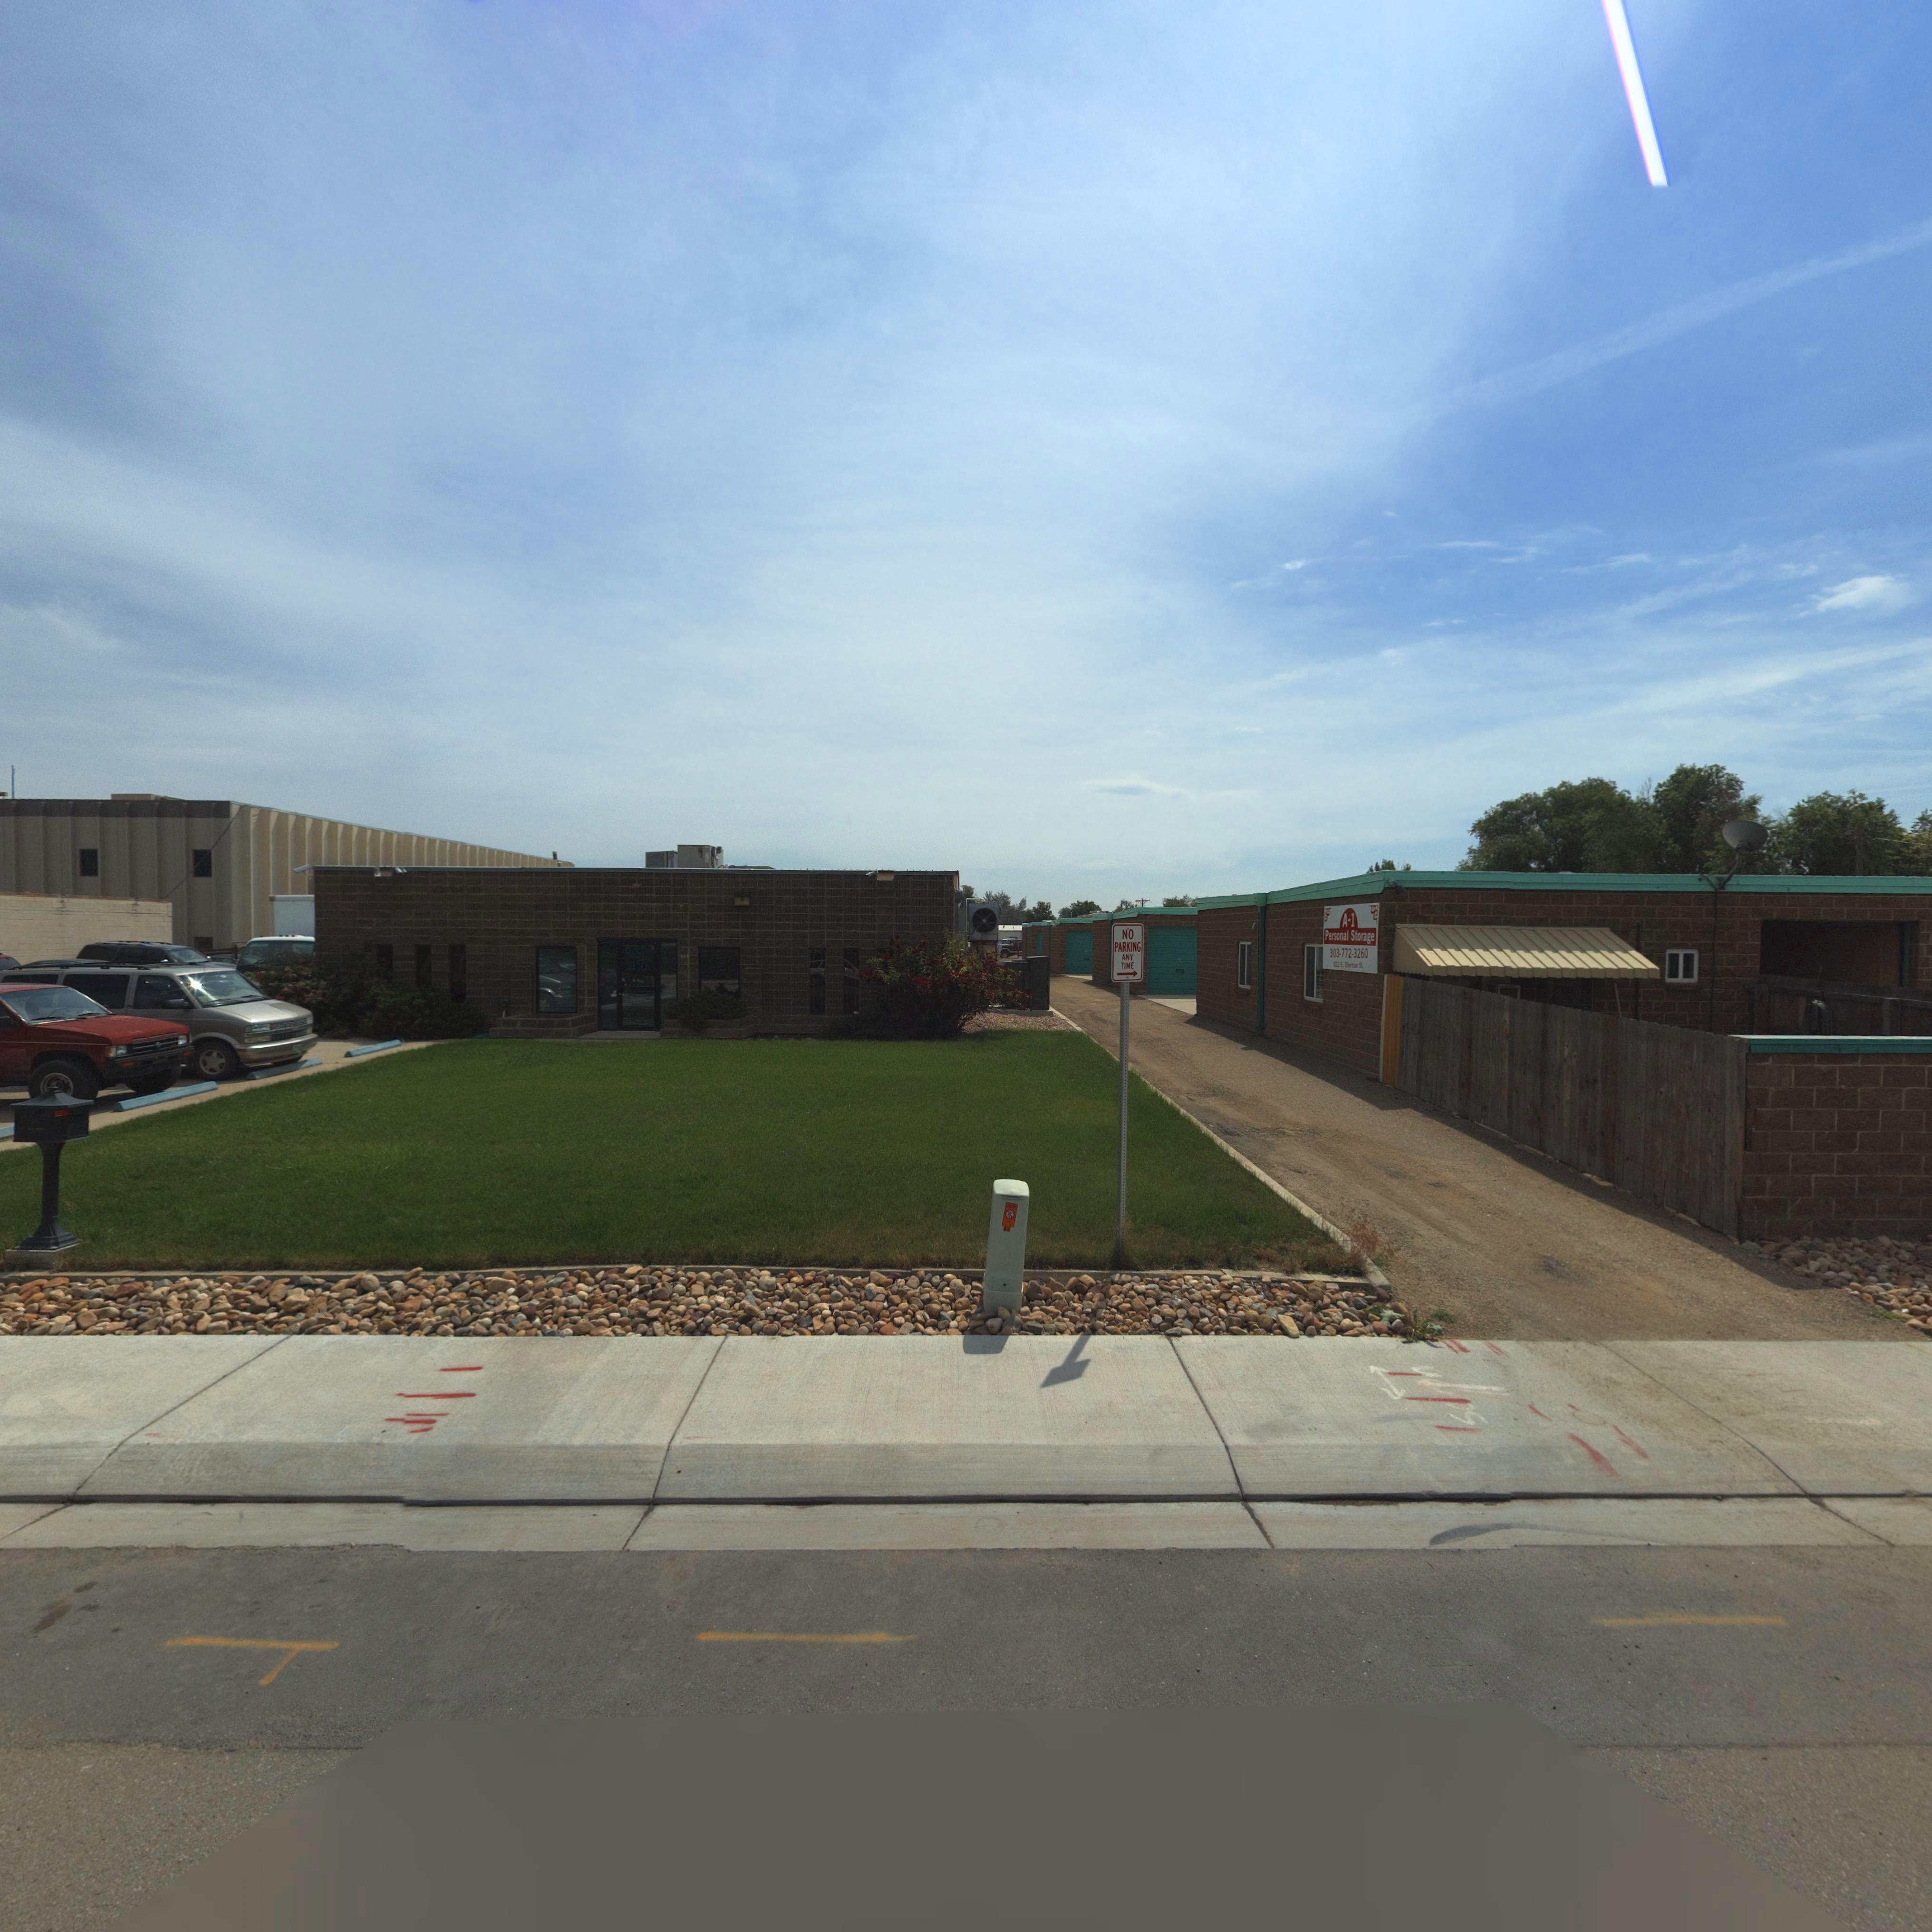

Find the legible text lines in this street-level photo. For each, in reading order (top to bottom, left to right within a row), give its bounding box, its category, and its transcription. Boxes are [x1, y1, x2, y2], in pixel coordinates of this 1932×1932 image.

[1342, 912, 1355, 927] BusinessName: A-1
[1324, 929, 1375, 944] BusinessName: Personal Storage
[628, 960, 648, 972] StreetNumber: 810
[1333, 960, 1339, 967] StreetNumber: *22
[1340, 961, 1364, 969] StreetName: S. Sherman St.